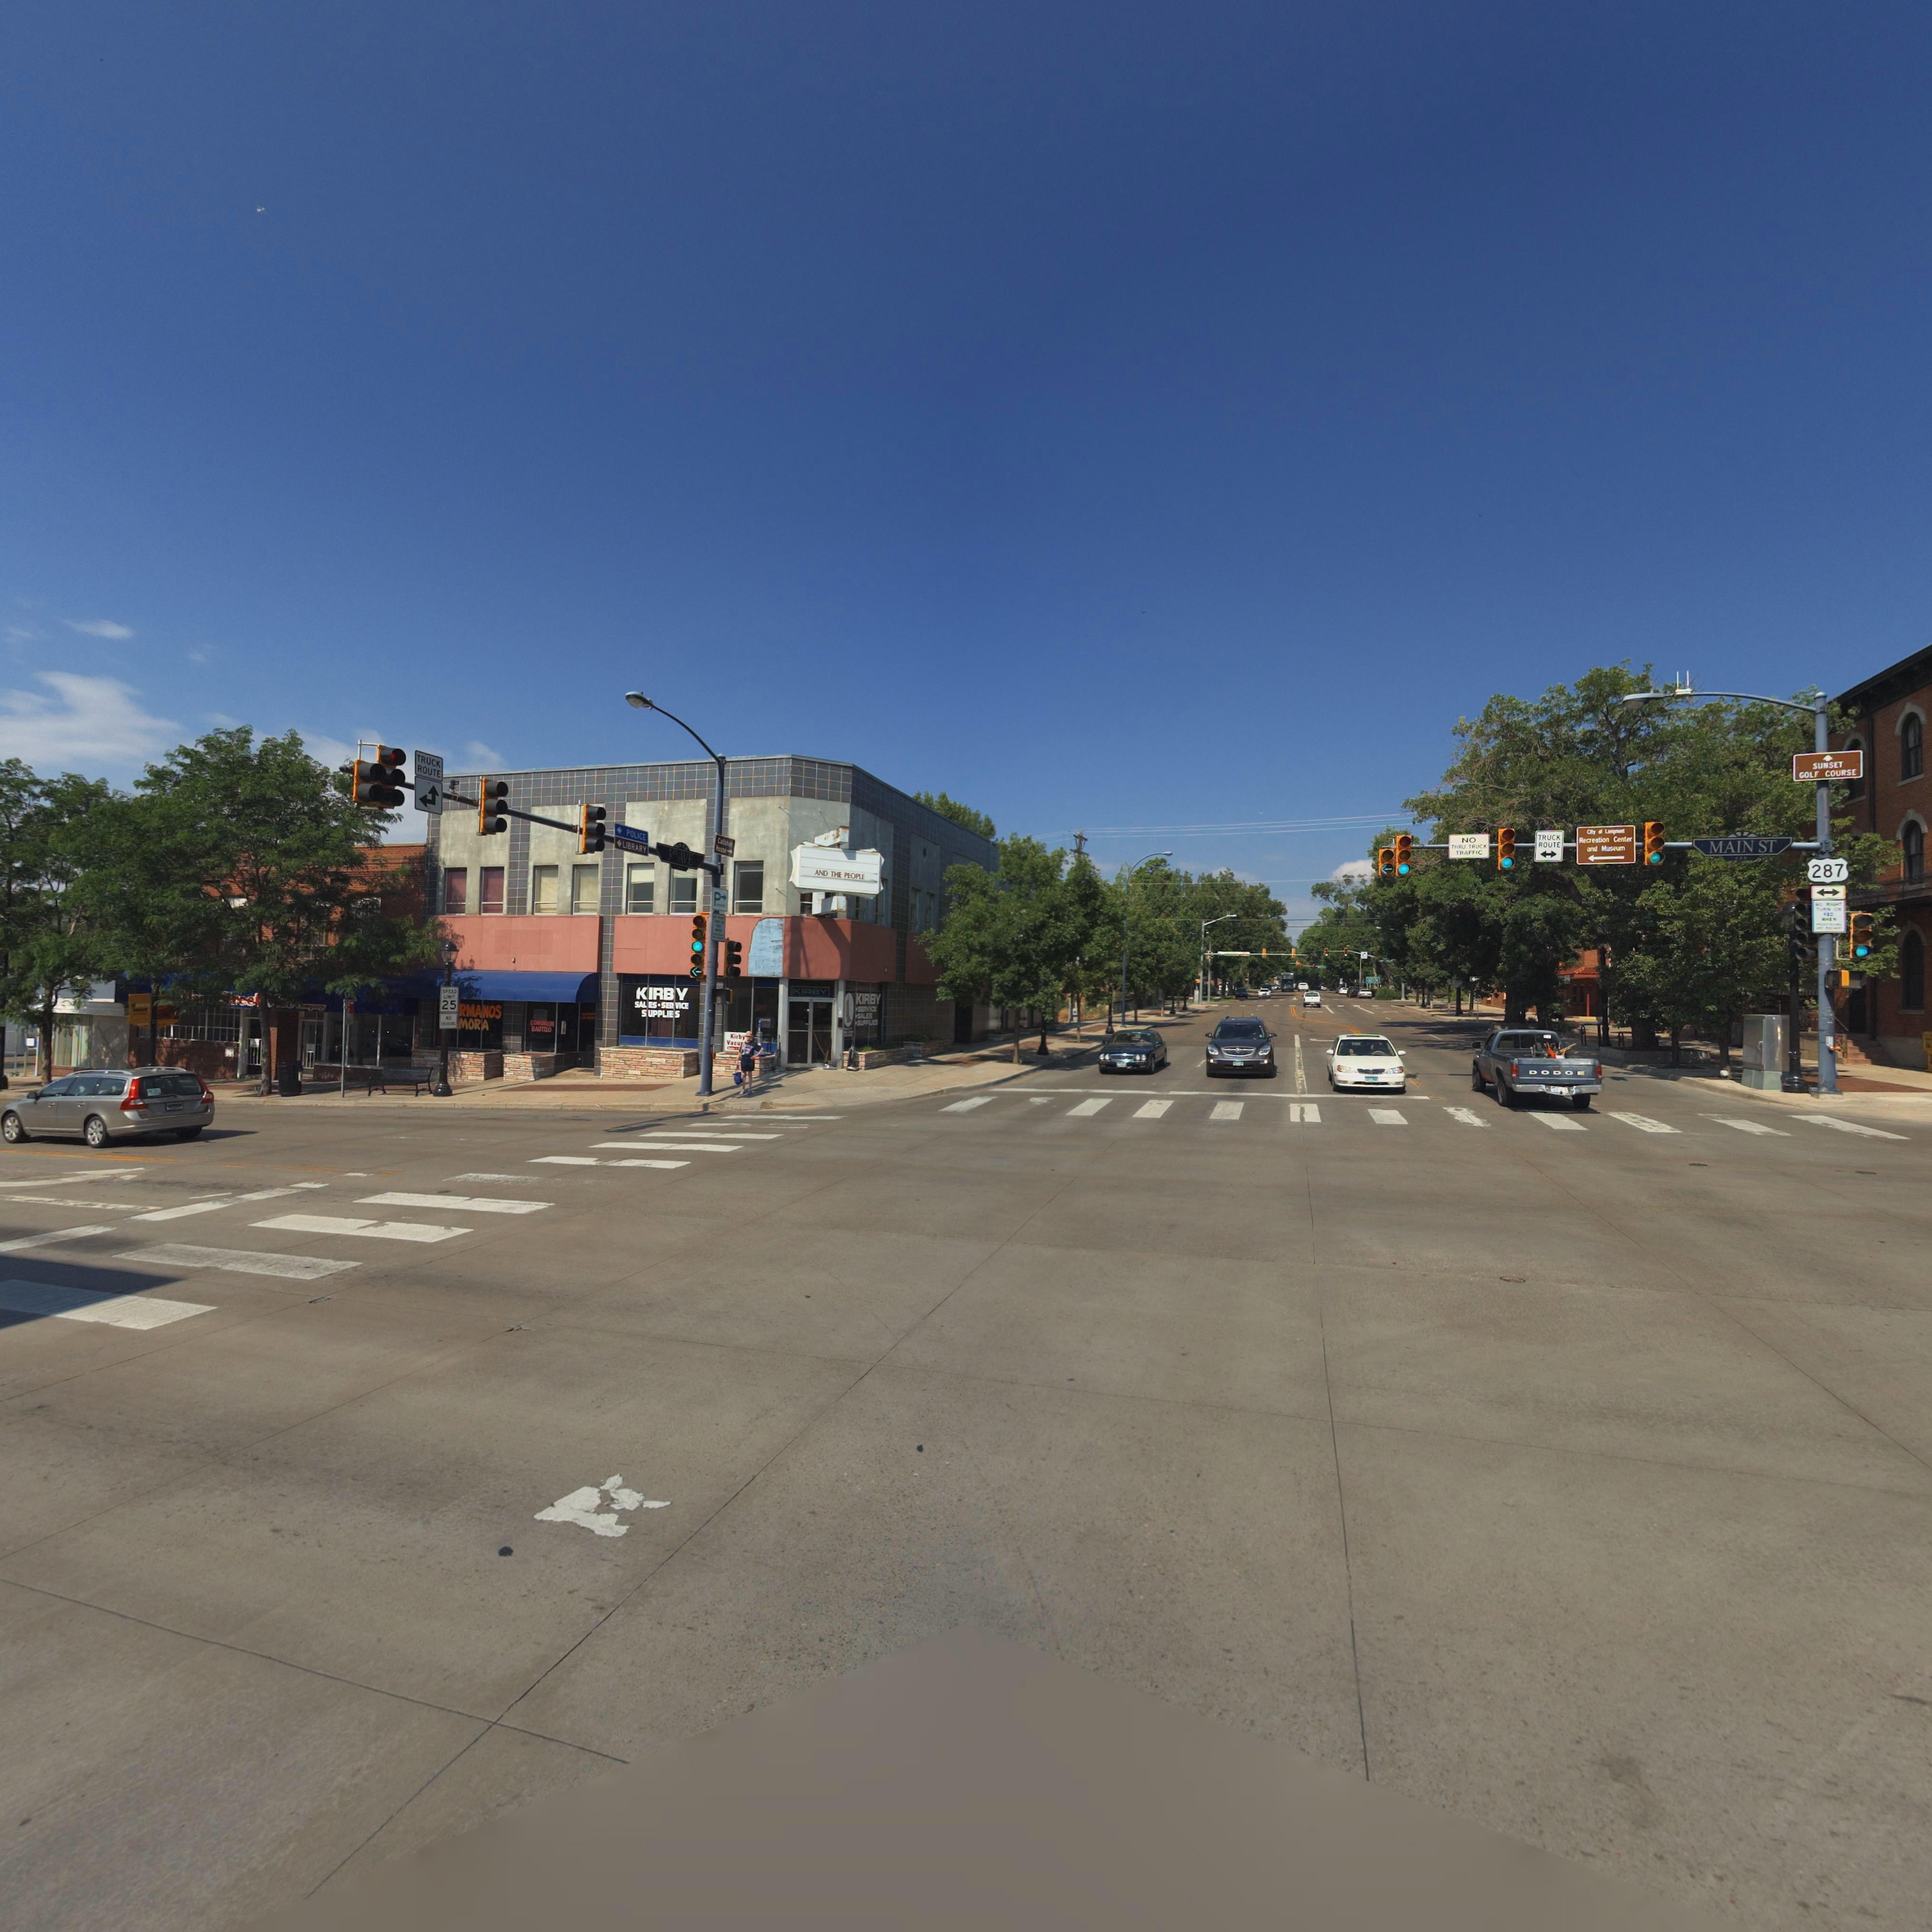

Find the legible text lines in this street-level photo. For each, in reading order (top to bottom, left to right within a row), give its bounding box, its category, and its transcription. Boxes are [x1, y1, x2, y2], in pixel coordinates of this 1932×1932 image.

[1709, 839, 1778, 853] StreetName: MAIN ST
[667, 848, 694, 866] StreetName: 3RD AVE
[1735, 856, 1747, 860] StreetNumberRange: *00
[232, 992, 326, 1012] BusinessName: ree***** **mpany
[635, 985, 689, 1001] BusinessName: KIRBY
[792, 987, 828, 995] BusinessName: KIRBY
[855, 992, 882, 1005] BusinessName: KIRBY
[459, 1003, 502, 1019] BusinessName: RMANOS
[457, 1017, 490, 1031] BusinessName: MORA